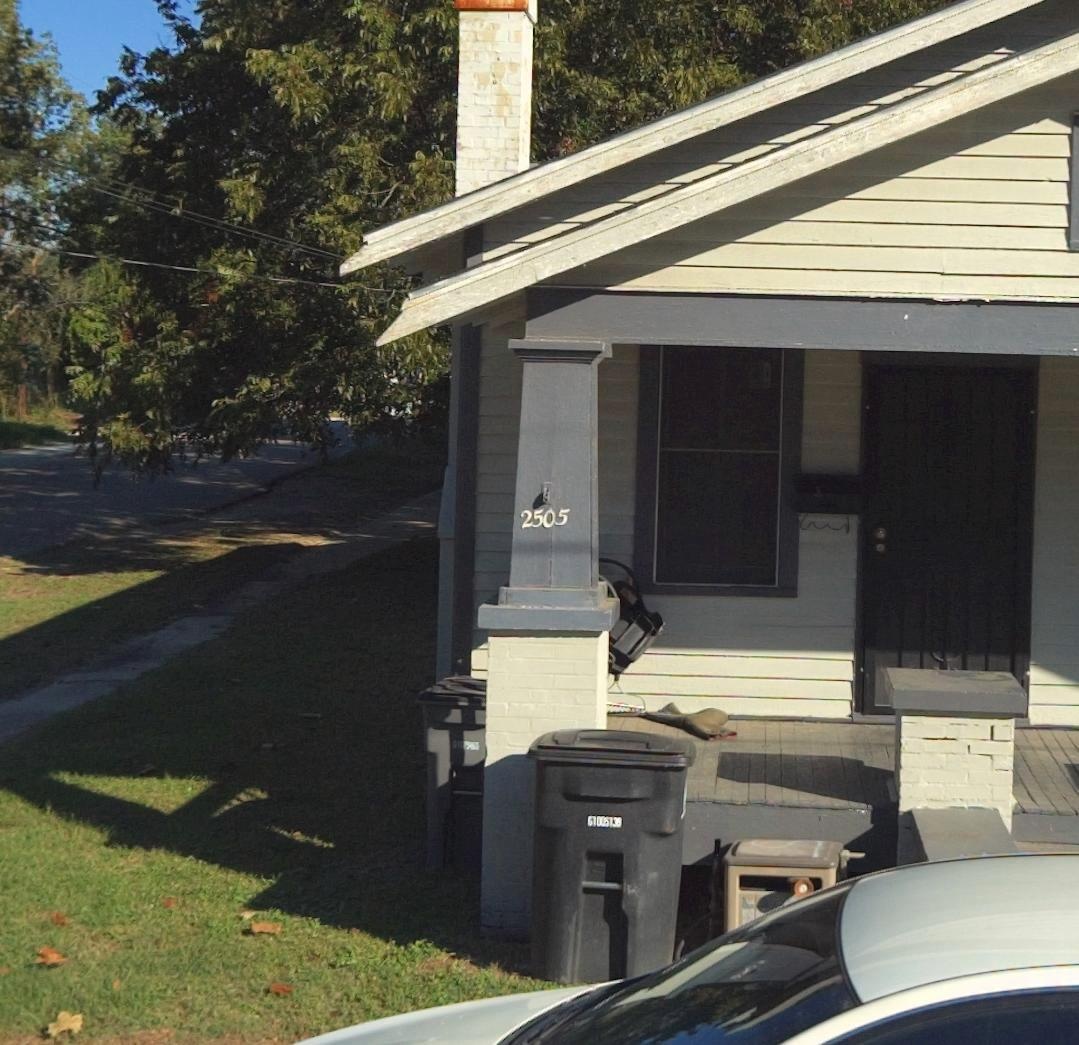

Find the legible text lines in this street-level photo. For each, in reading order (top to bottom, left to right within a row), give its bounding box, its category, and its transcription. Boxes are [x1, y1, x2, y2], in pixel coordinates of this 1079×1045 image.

[518, 507, 572, 532] StreetNumber: 2505